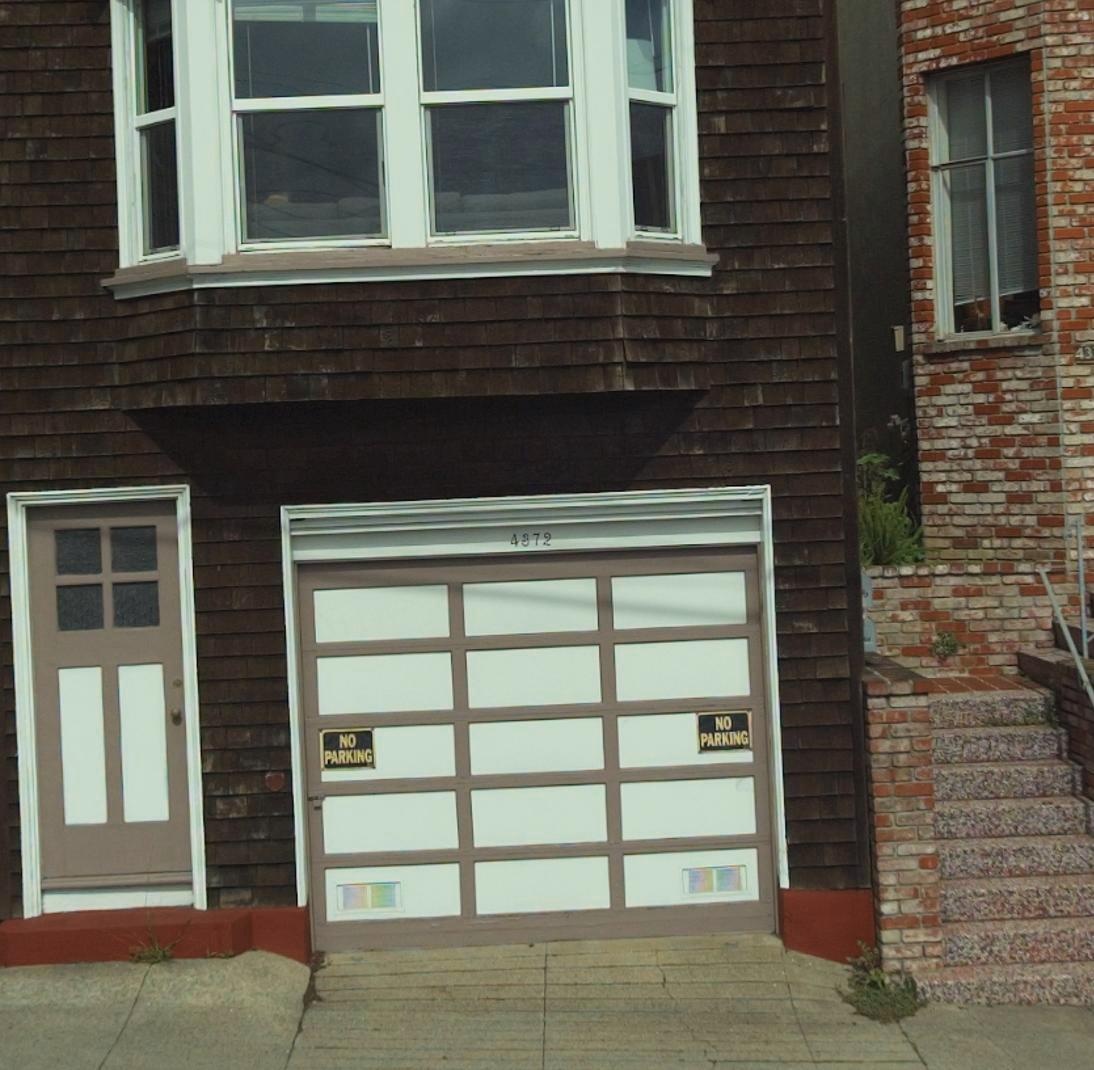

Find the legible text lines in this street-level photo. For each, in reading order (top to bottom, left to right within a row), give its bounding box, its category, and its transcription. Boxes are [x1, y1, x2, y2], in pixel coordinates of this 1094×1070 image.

[508, 529, 554, 550] StreetNumber: 4372
[712, 713, 735, 733] None: NO
[336, 731, 359, 750] None: NO
[699, 728, 752, 751] None: PARKING
[321, 746, 375, 768] None: PARKING